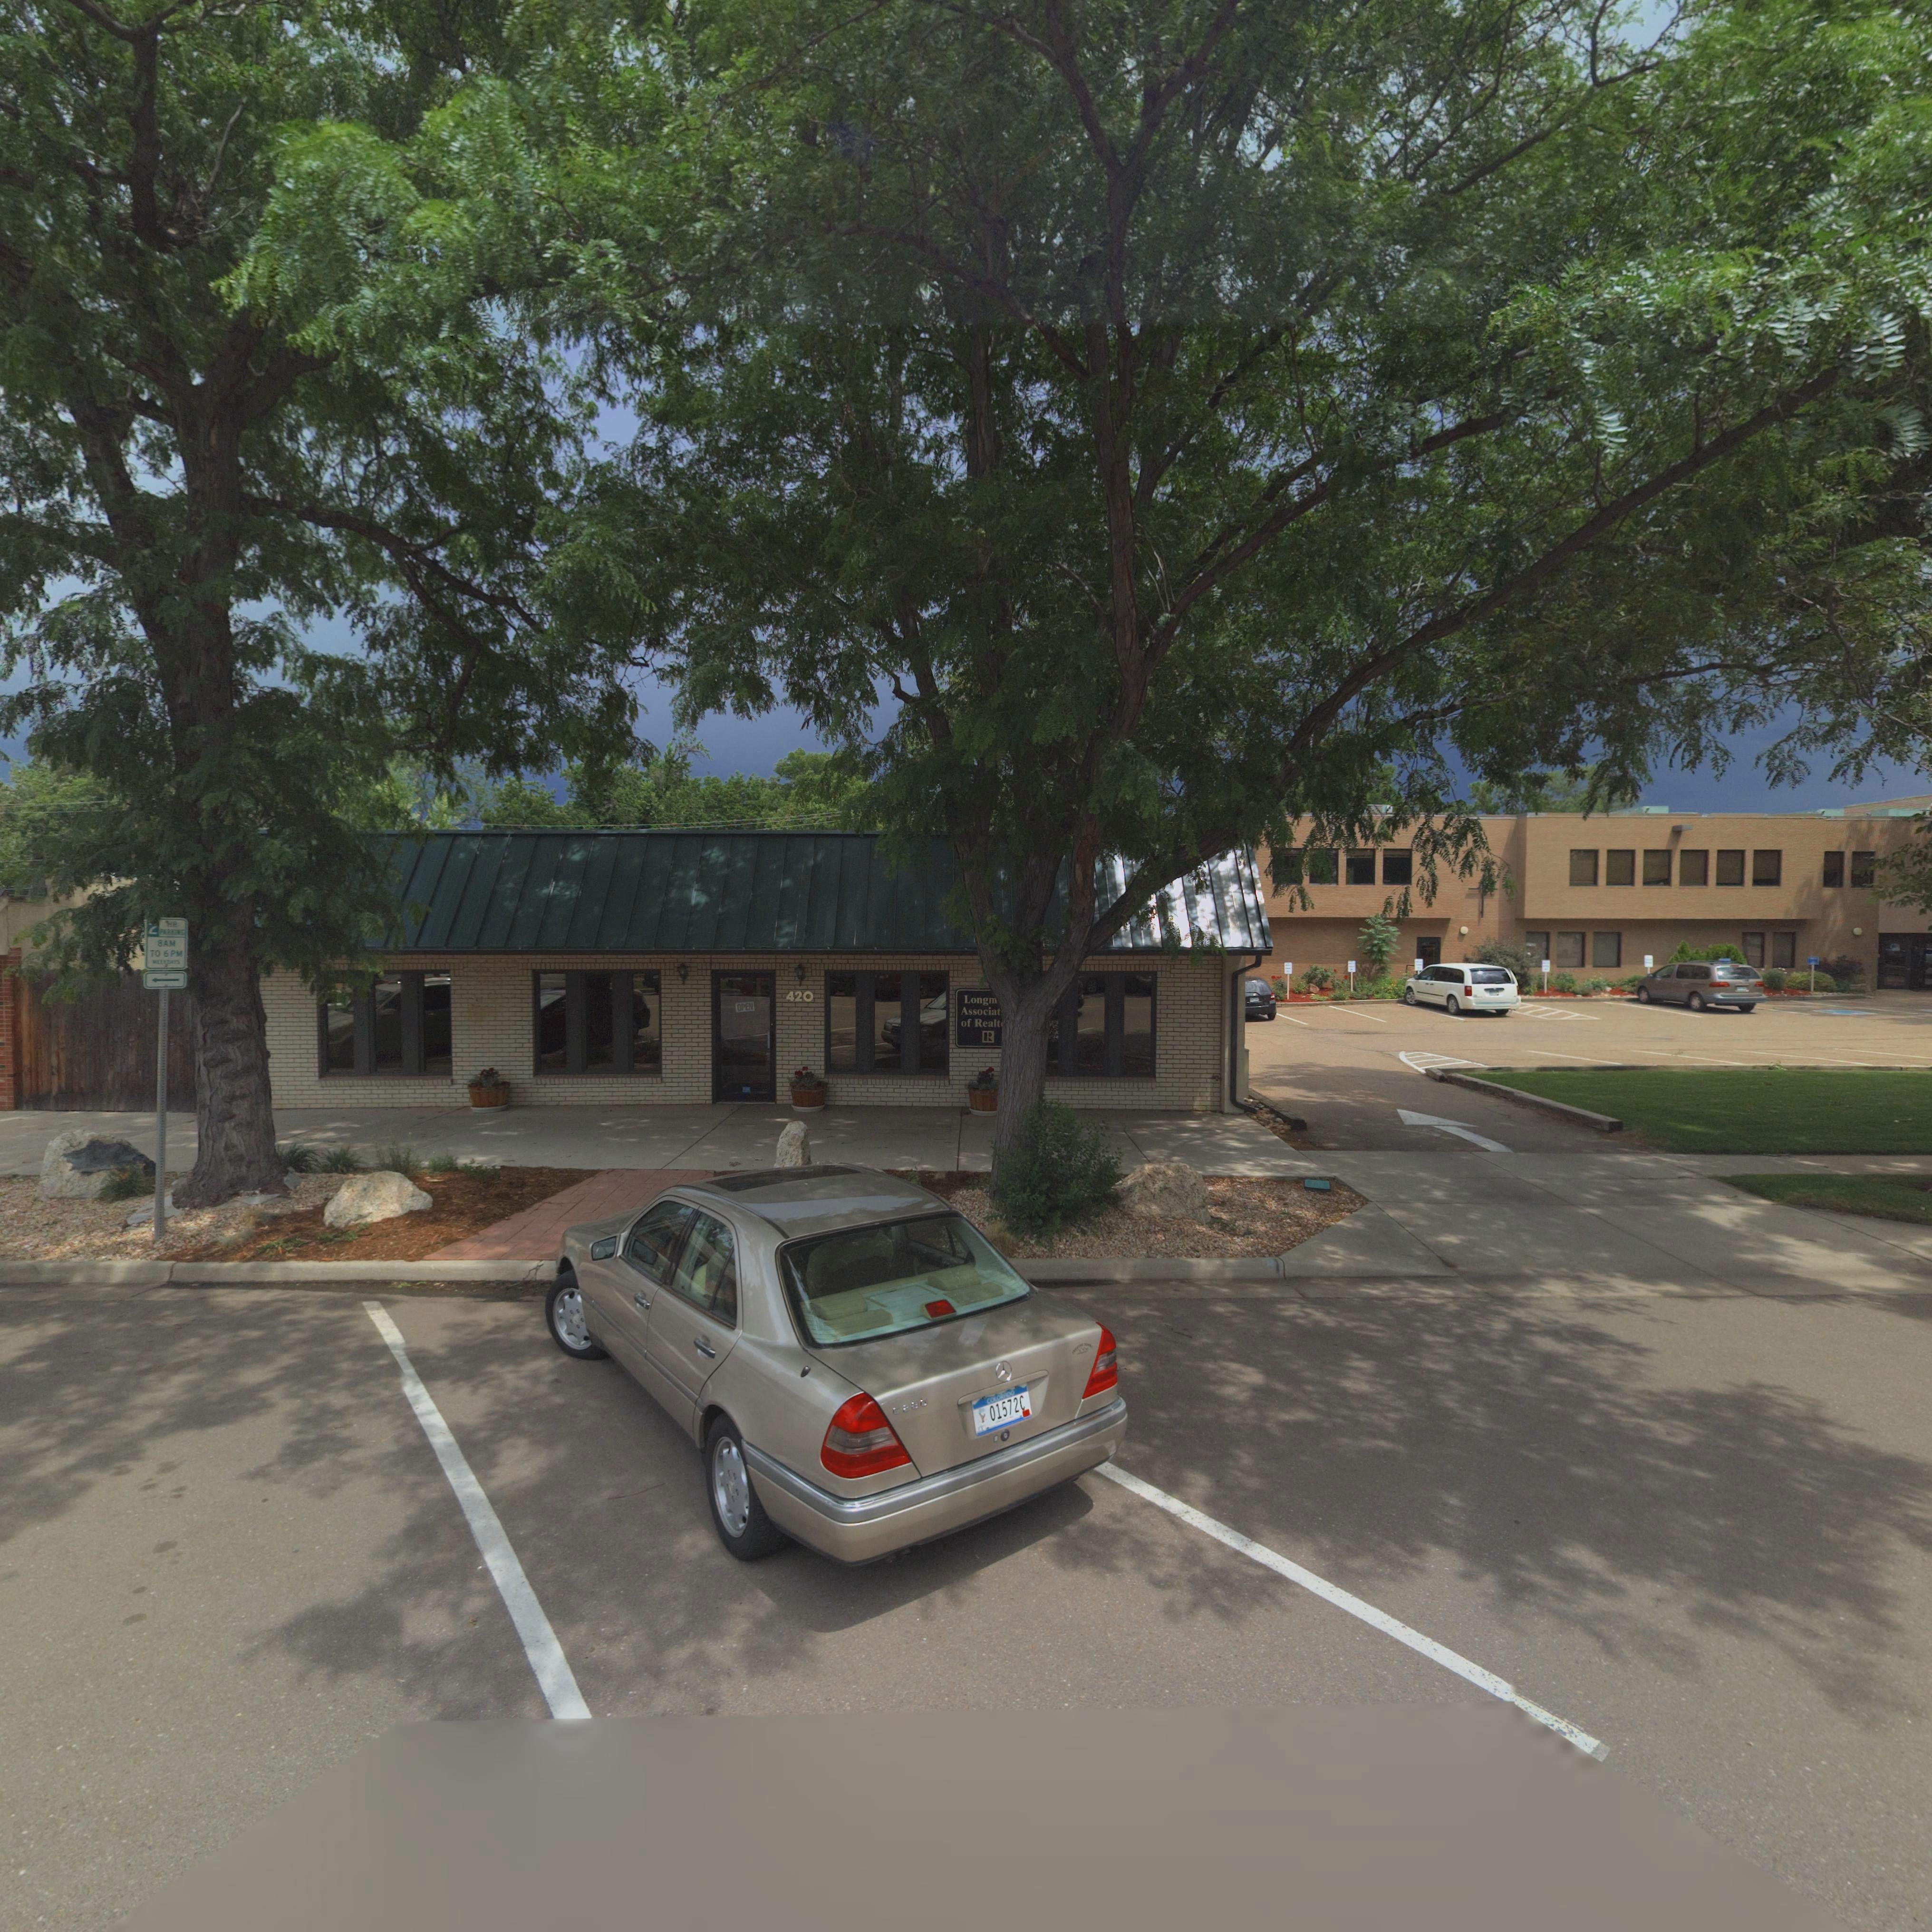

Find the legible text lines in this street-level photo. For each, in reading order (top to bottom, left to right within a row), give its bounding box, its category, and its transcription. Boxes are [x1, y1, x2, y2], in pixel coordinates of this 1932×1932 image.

[785, 991, 813, 1002] StreetNumber: 420
[963, 995, 997, 1006] BusinessName: Longm
[960, 1005, 1001, 1015] BusinessName: Associat
[960, 1018, 1001, 1028] BusinessName: of Realt